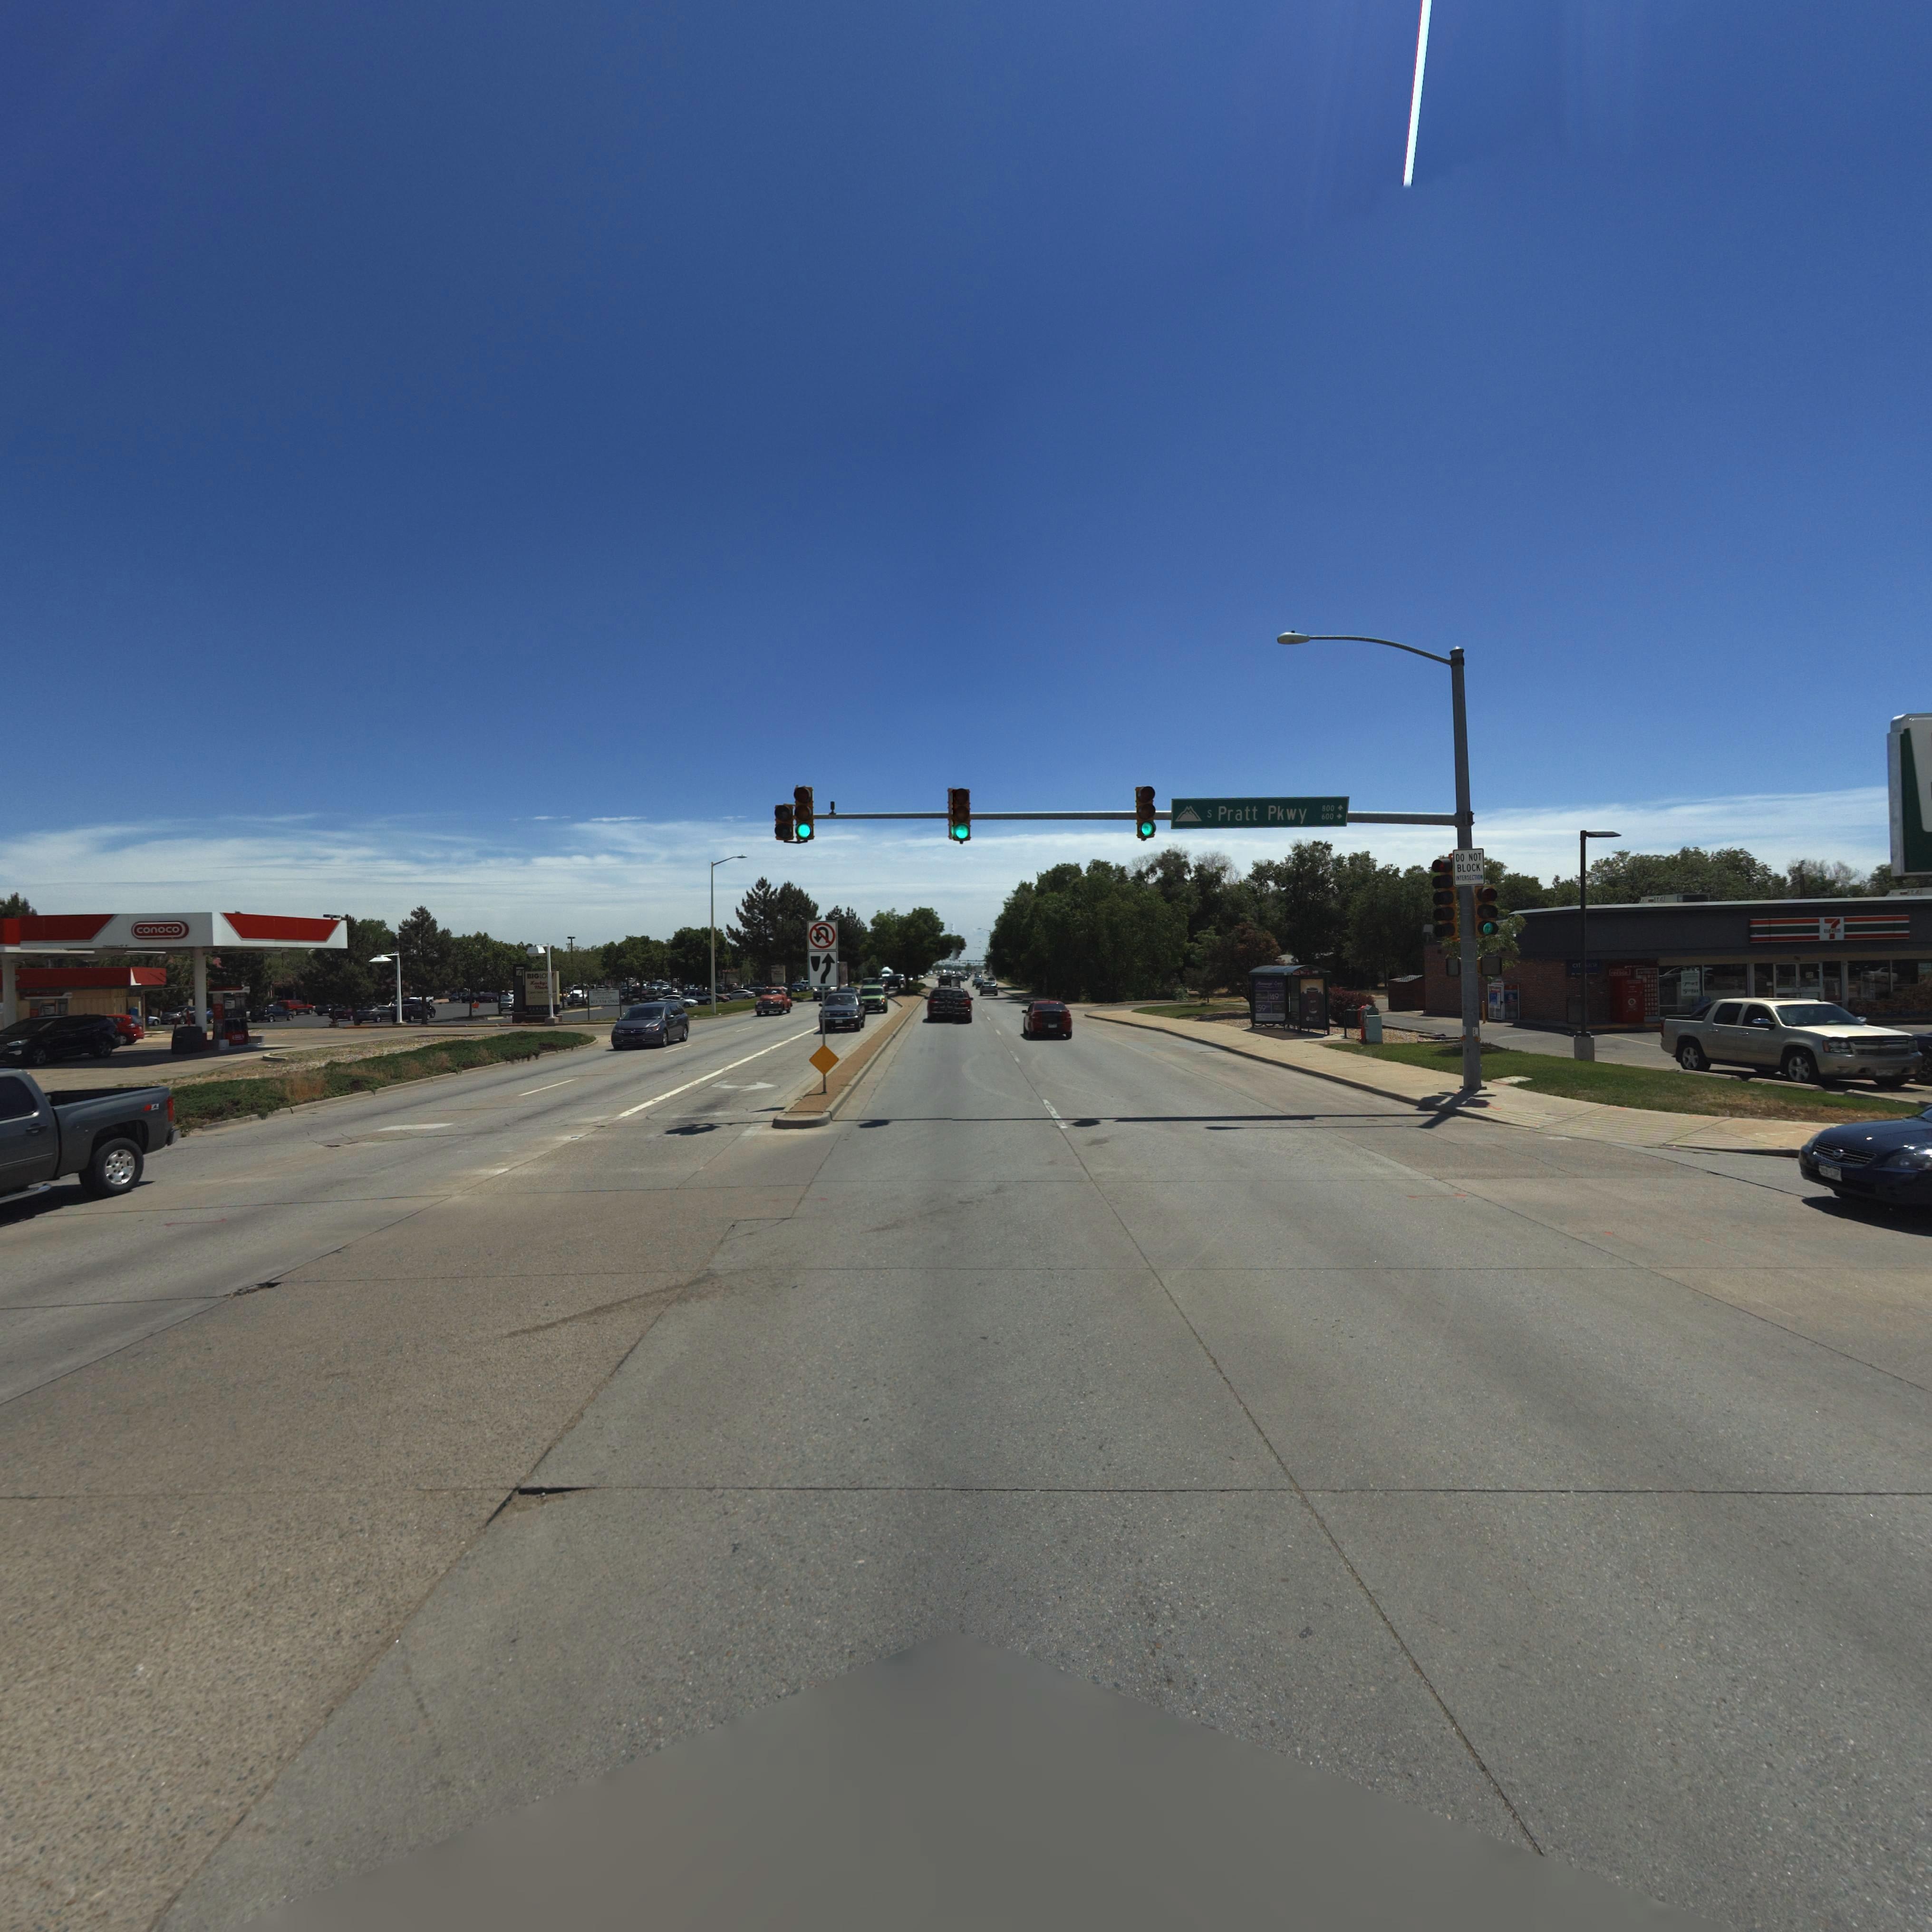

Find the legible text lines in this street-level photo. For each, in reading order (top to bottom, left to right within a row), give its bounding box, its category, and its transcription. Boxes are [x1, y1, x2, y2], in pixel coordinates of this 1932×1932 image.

[1321, 804, 1335, 811] StreetNumberRange: 600
[1206, 804, 1308, 825] StreetName: S Pratt Pkwy
[1321, 813, 1343, 820] StreetNumberRange:  600 ->
[136, 926, 179, 933] BusinessName: conoco
[527, 973, 554, 978] BusinessName: BIG LO**!
[530, 980, 549, 986] BusinessName: Lucky'*
[533, 985, 549, 989] BusinessName:  Ma****